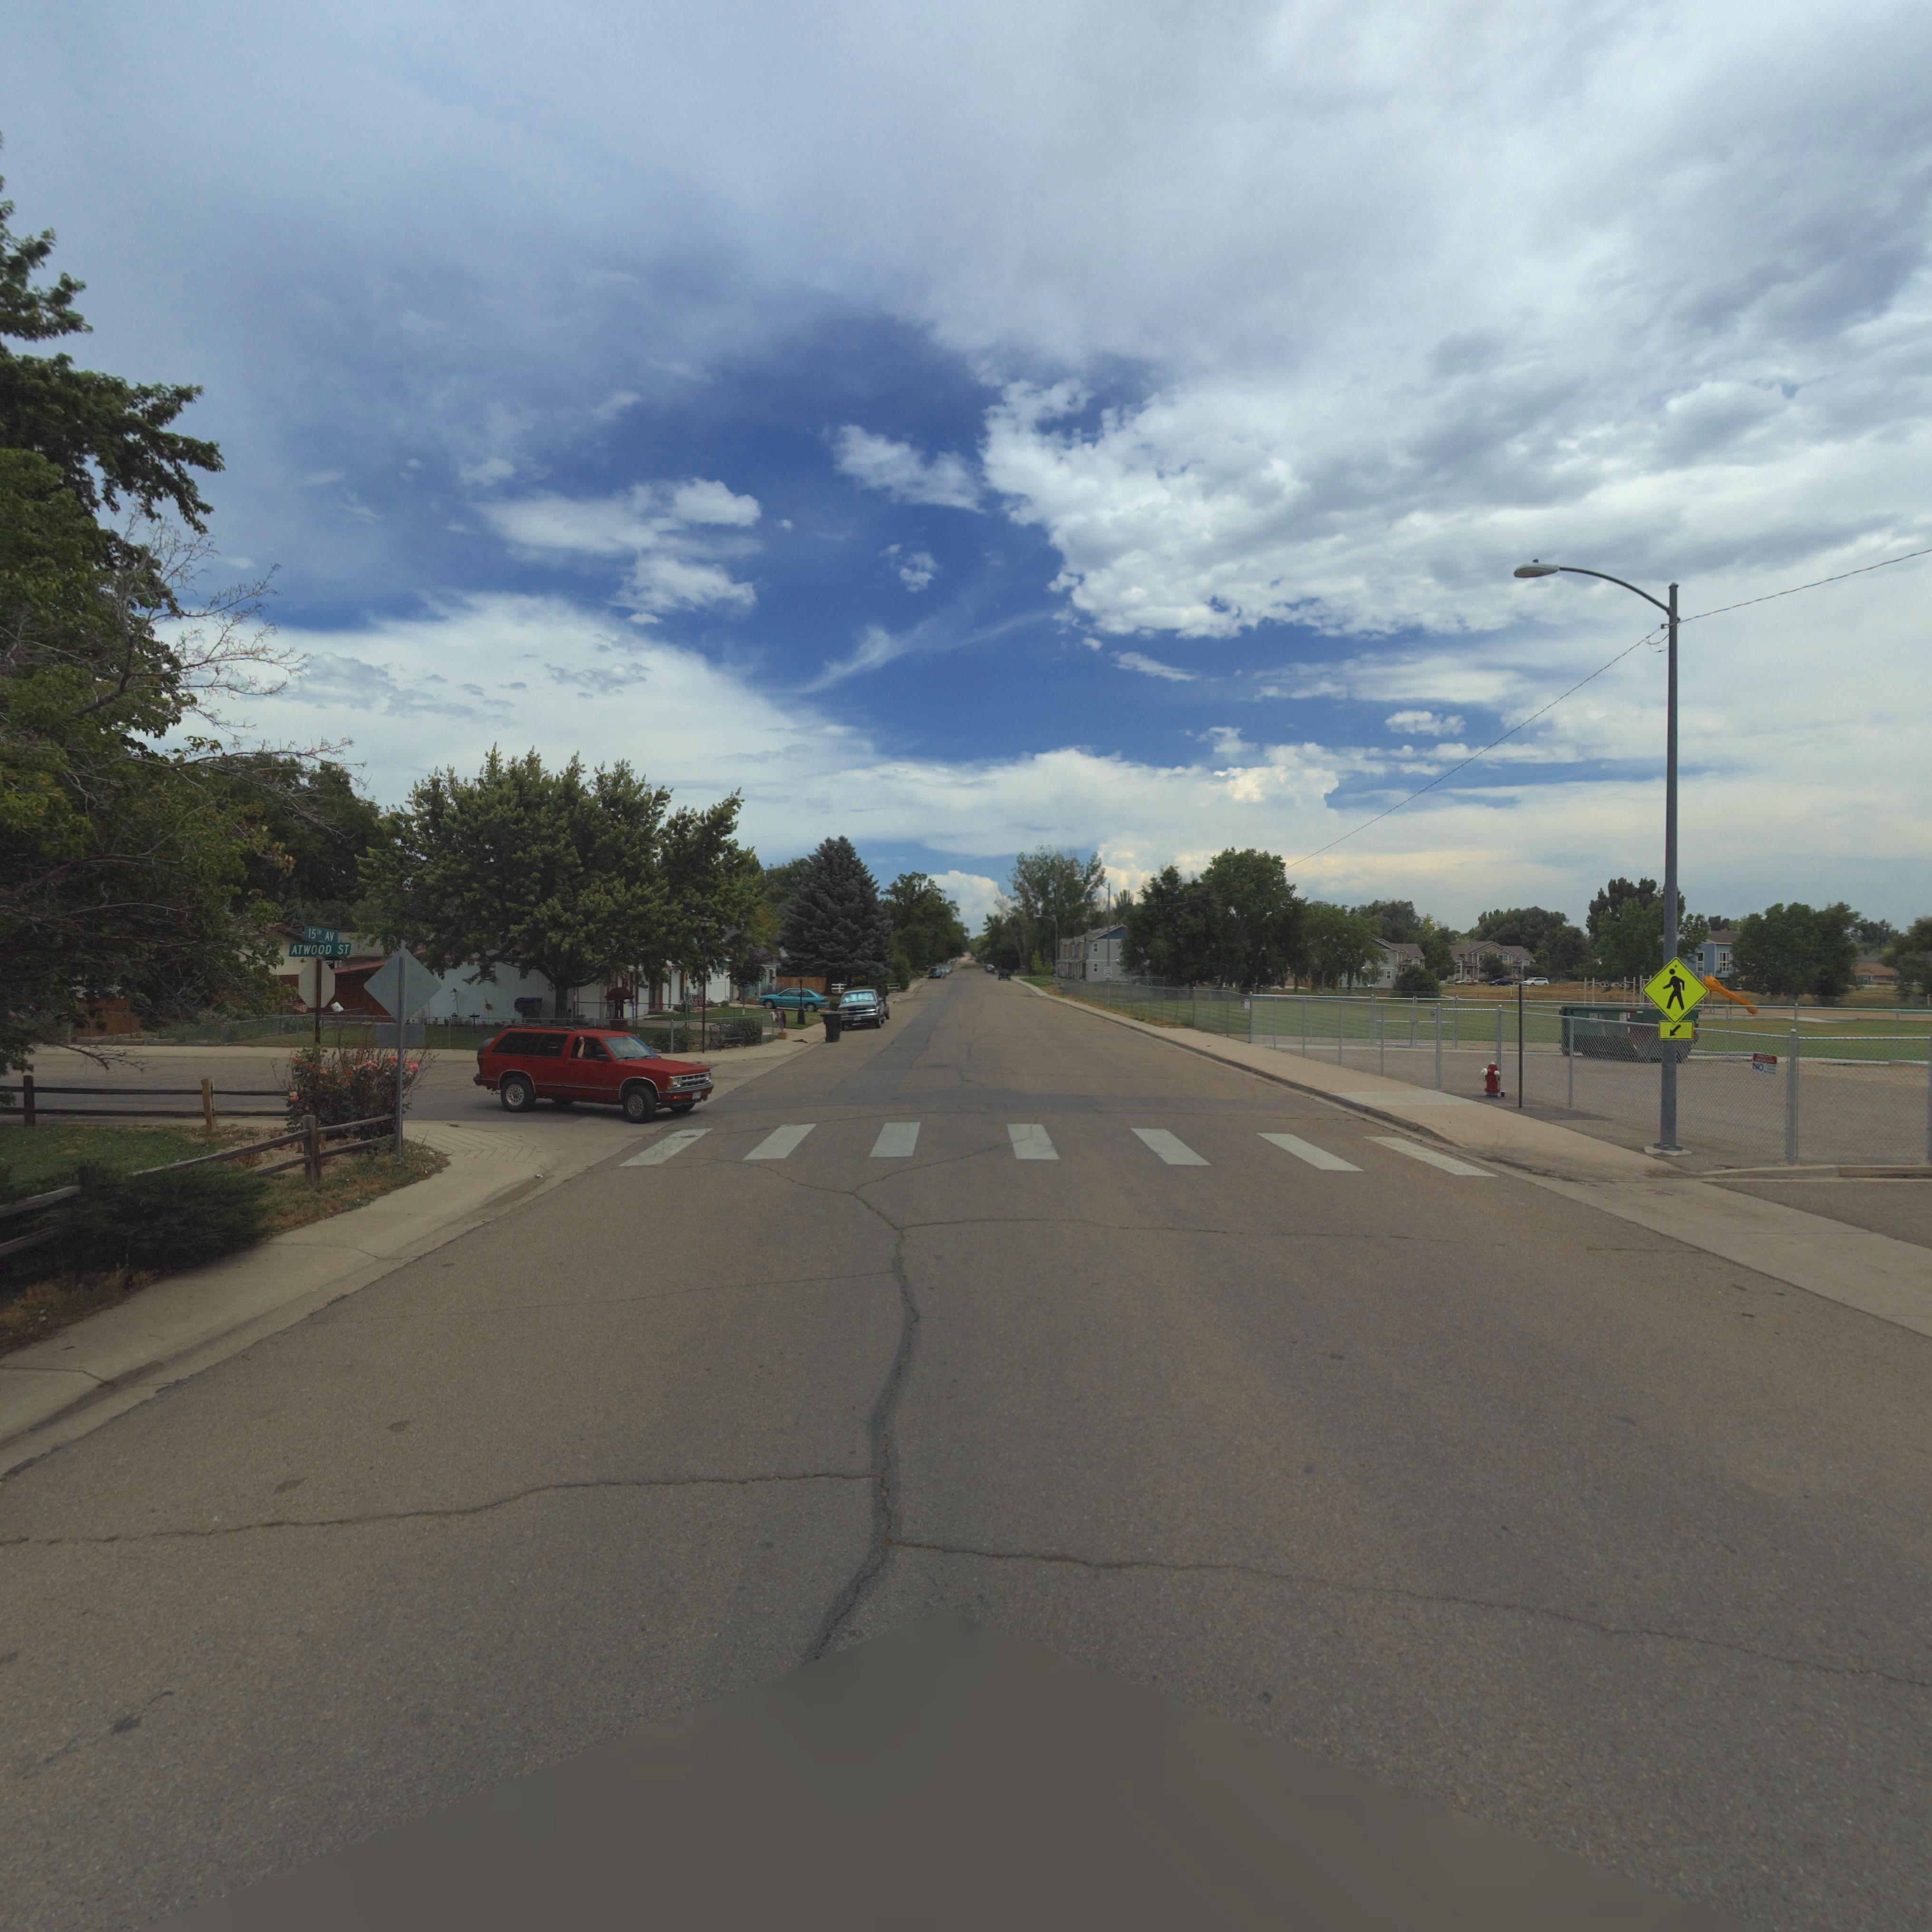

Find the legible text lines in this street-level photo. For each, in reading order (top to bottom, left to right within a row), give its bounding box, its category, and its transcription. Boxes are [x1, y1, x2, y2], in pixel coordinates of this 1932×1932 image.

[308, 927, 335, 942] StreetName: 15TH AV
[290, 944, 350, 955] StreetName: ATWOOD ST